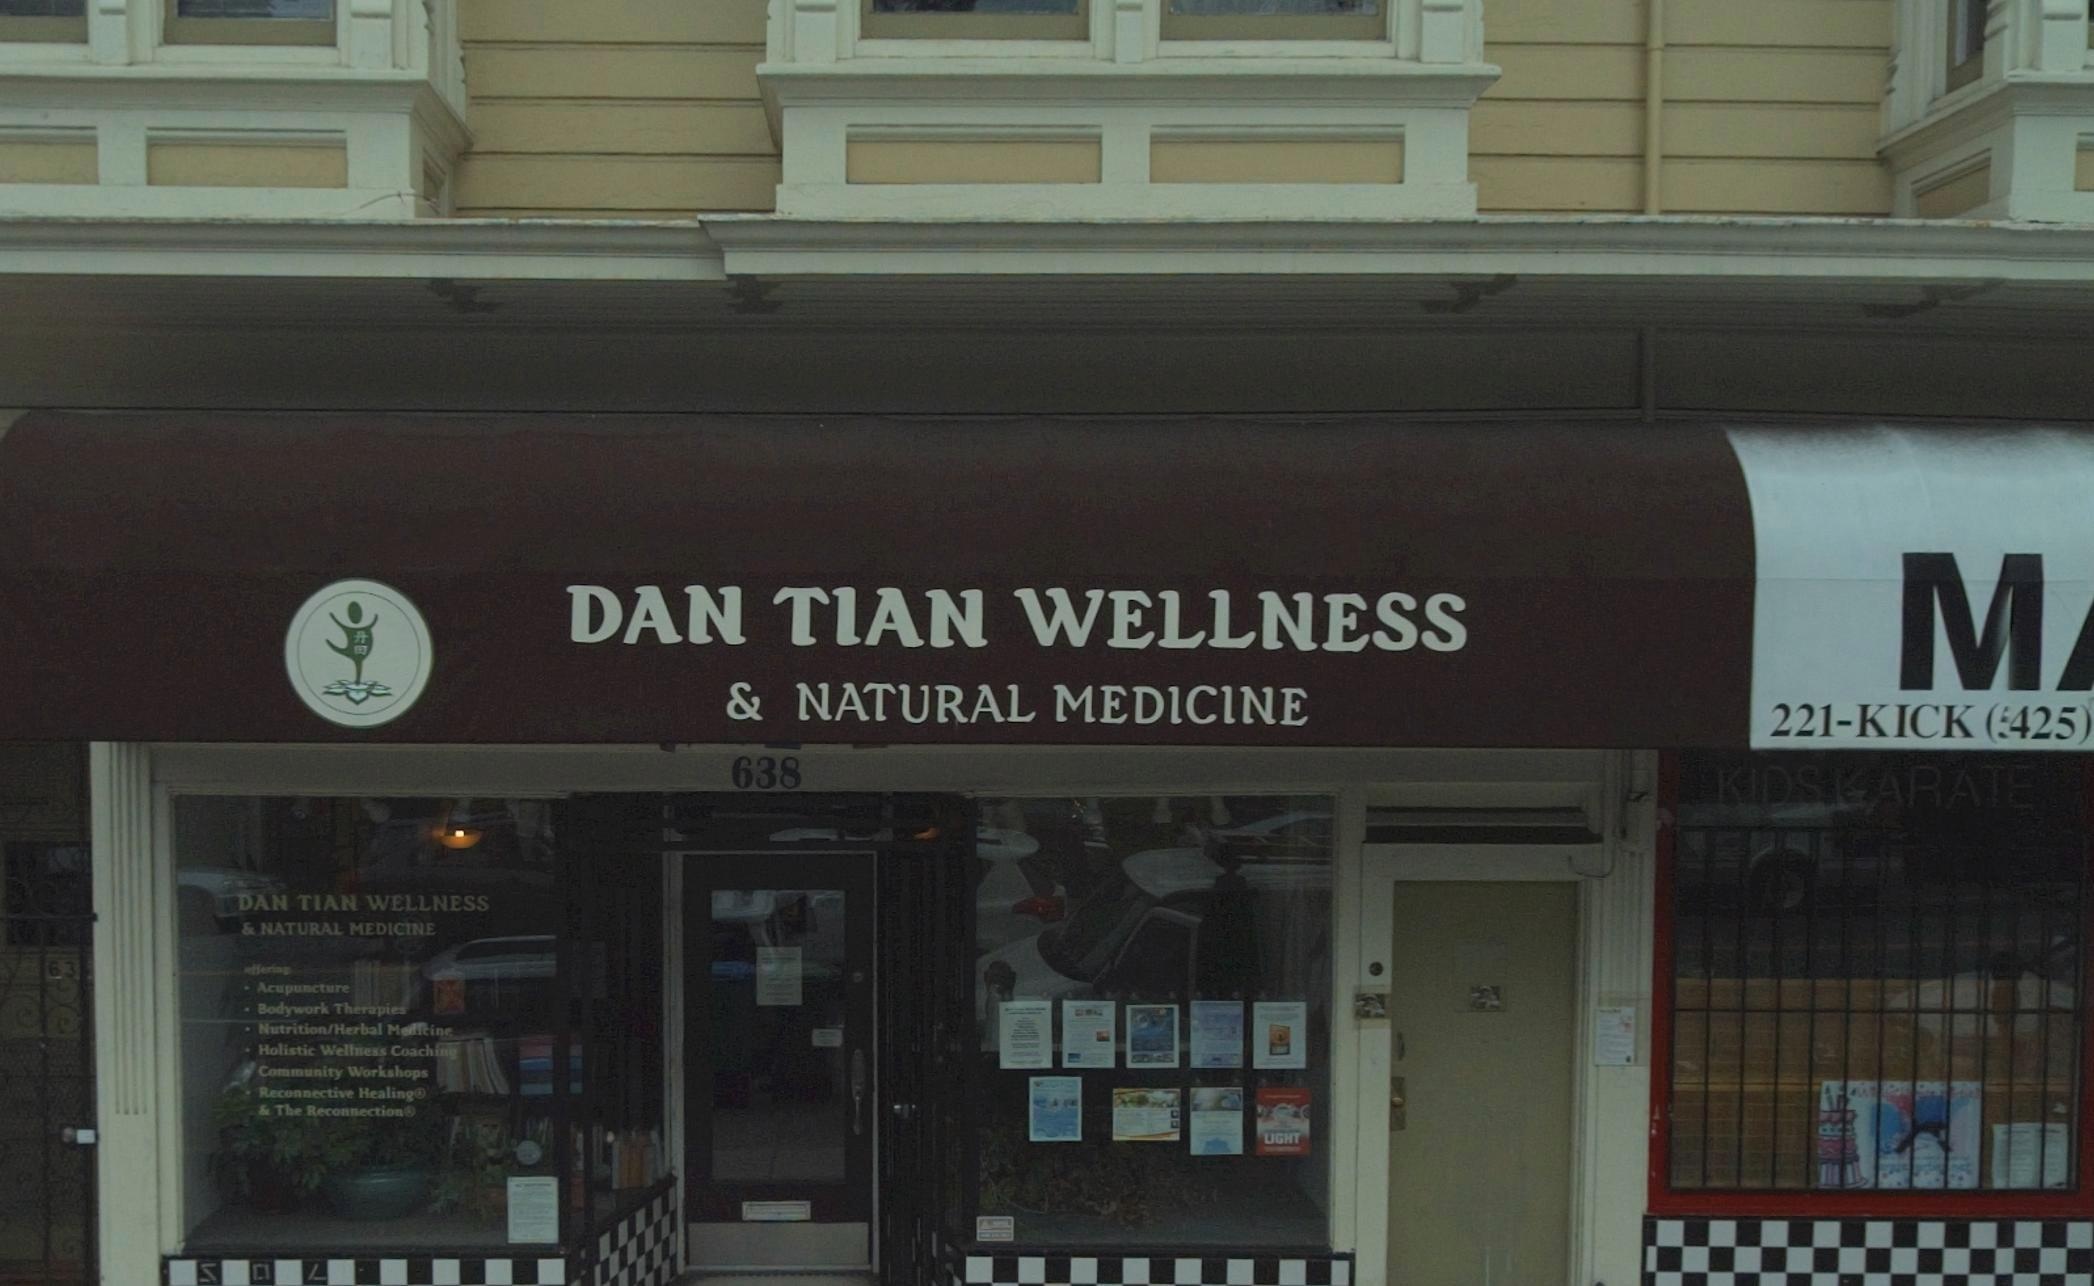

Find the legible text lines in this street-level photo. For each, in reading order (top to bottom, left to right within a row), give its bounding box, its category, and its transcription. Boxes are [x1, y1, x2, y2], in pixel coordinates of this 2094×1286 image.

[562, 584, 1469, 656] BusinessName: DAN TIAN WELLNESS
[1898, 551, 2044, 692] BusinessName: M
[722, 680, 1310, 727] BusinessName: & NATURAL MEDICINE
[1769, 700, 2092, 747] None: 221-KICK (*425)
[728, 752, 806, 790] StreetNumber: 638
[1712, 762, 2036, 809] None: KIDSKARATE
[235, 891, 491, 914] BusinessName: DAN TIAN WELLNESS
[239, 919, 437, 939] BusinessName: & NATURAL MEDICINE
[45, 959, 79, 980] StreetNumber: 63
[241, 961, 291, 978] None: offering
[254, 979, 352, 998] None: Acupuncture
[255, 999, 422, 1018] None: Bodywork Therapies
[256, 1019, 458, 1040] None: Nutrition/Herbal Medicine
[254, 1040, 460, 1062] None: Holistic Wellness Coaching
[256, 1062, 431, 1083] None: Community Workshops
[257, 1084, 415, 1104] None: Reconnective Healing
[258, 1102, 406, 1118] None: & The Reconnection
[1263, 1132, 1301, 1146] None: LIGHT